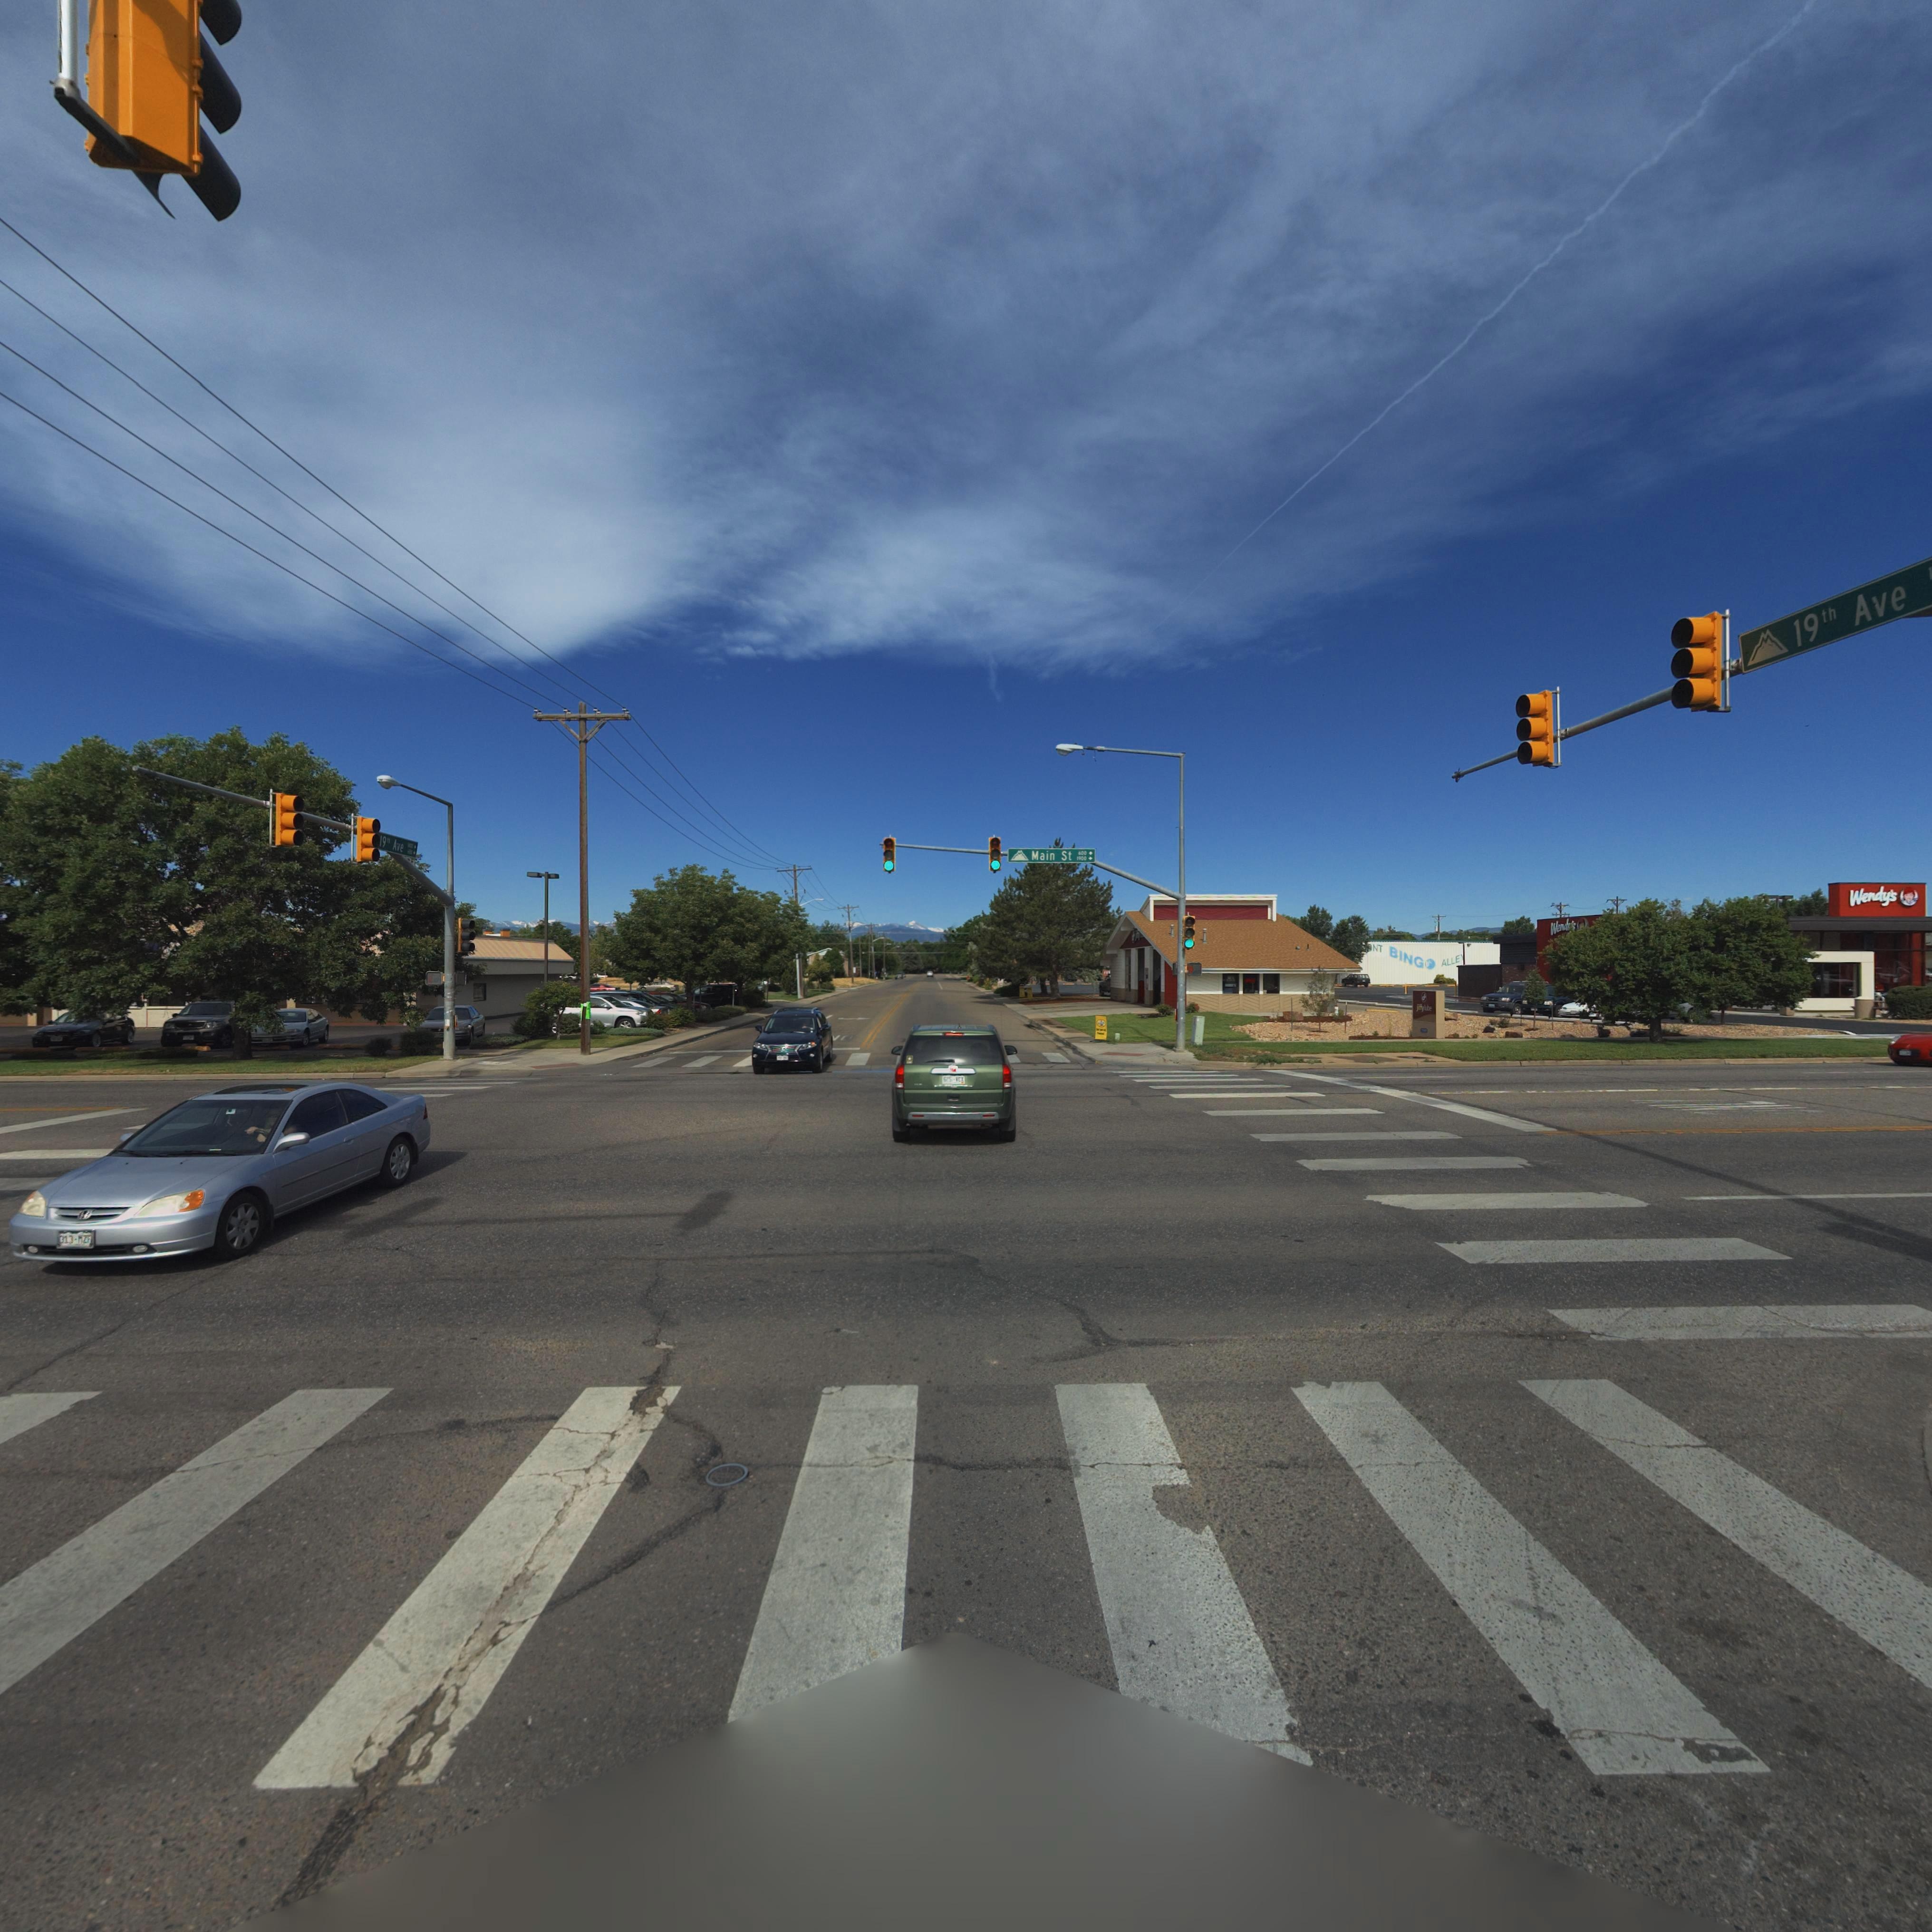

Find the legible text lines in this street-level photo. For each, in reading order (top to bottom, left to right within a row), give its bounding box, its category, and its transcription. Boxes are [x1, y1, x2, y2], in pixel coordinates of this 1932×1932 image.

[1792, 581, 1911, 648] StreetName: 19th Ave
[378, 833, 405, 853] StreetName: 19** Ave
[1031, 850, 1073, 860] StreetName: Main St
[1078, 850, 1088, 855] StreetNumberRange: 600
[1076, 856, 1092, 860] StreetNumberRange: 1900 ->
[1848, 885, 1898, 907] BusinessName: Wendy's
[1550, 918, 1576, 936] BusinessName: Wend*'s
[1366, 943, 1465, 970] BusinessName: *NT BINGO ALLE*
[1416, 1003, 1432, 1013] BusinessName: j***ylube